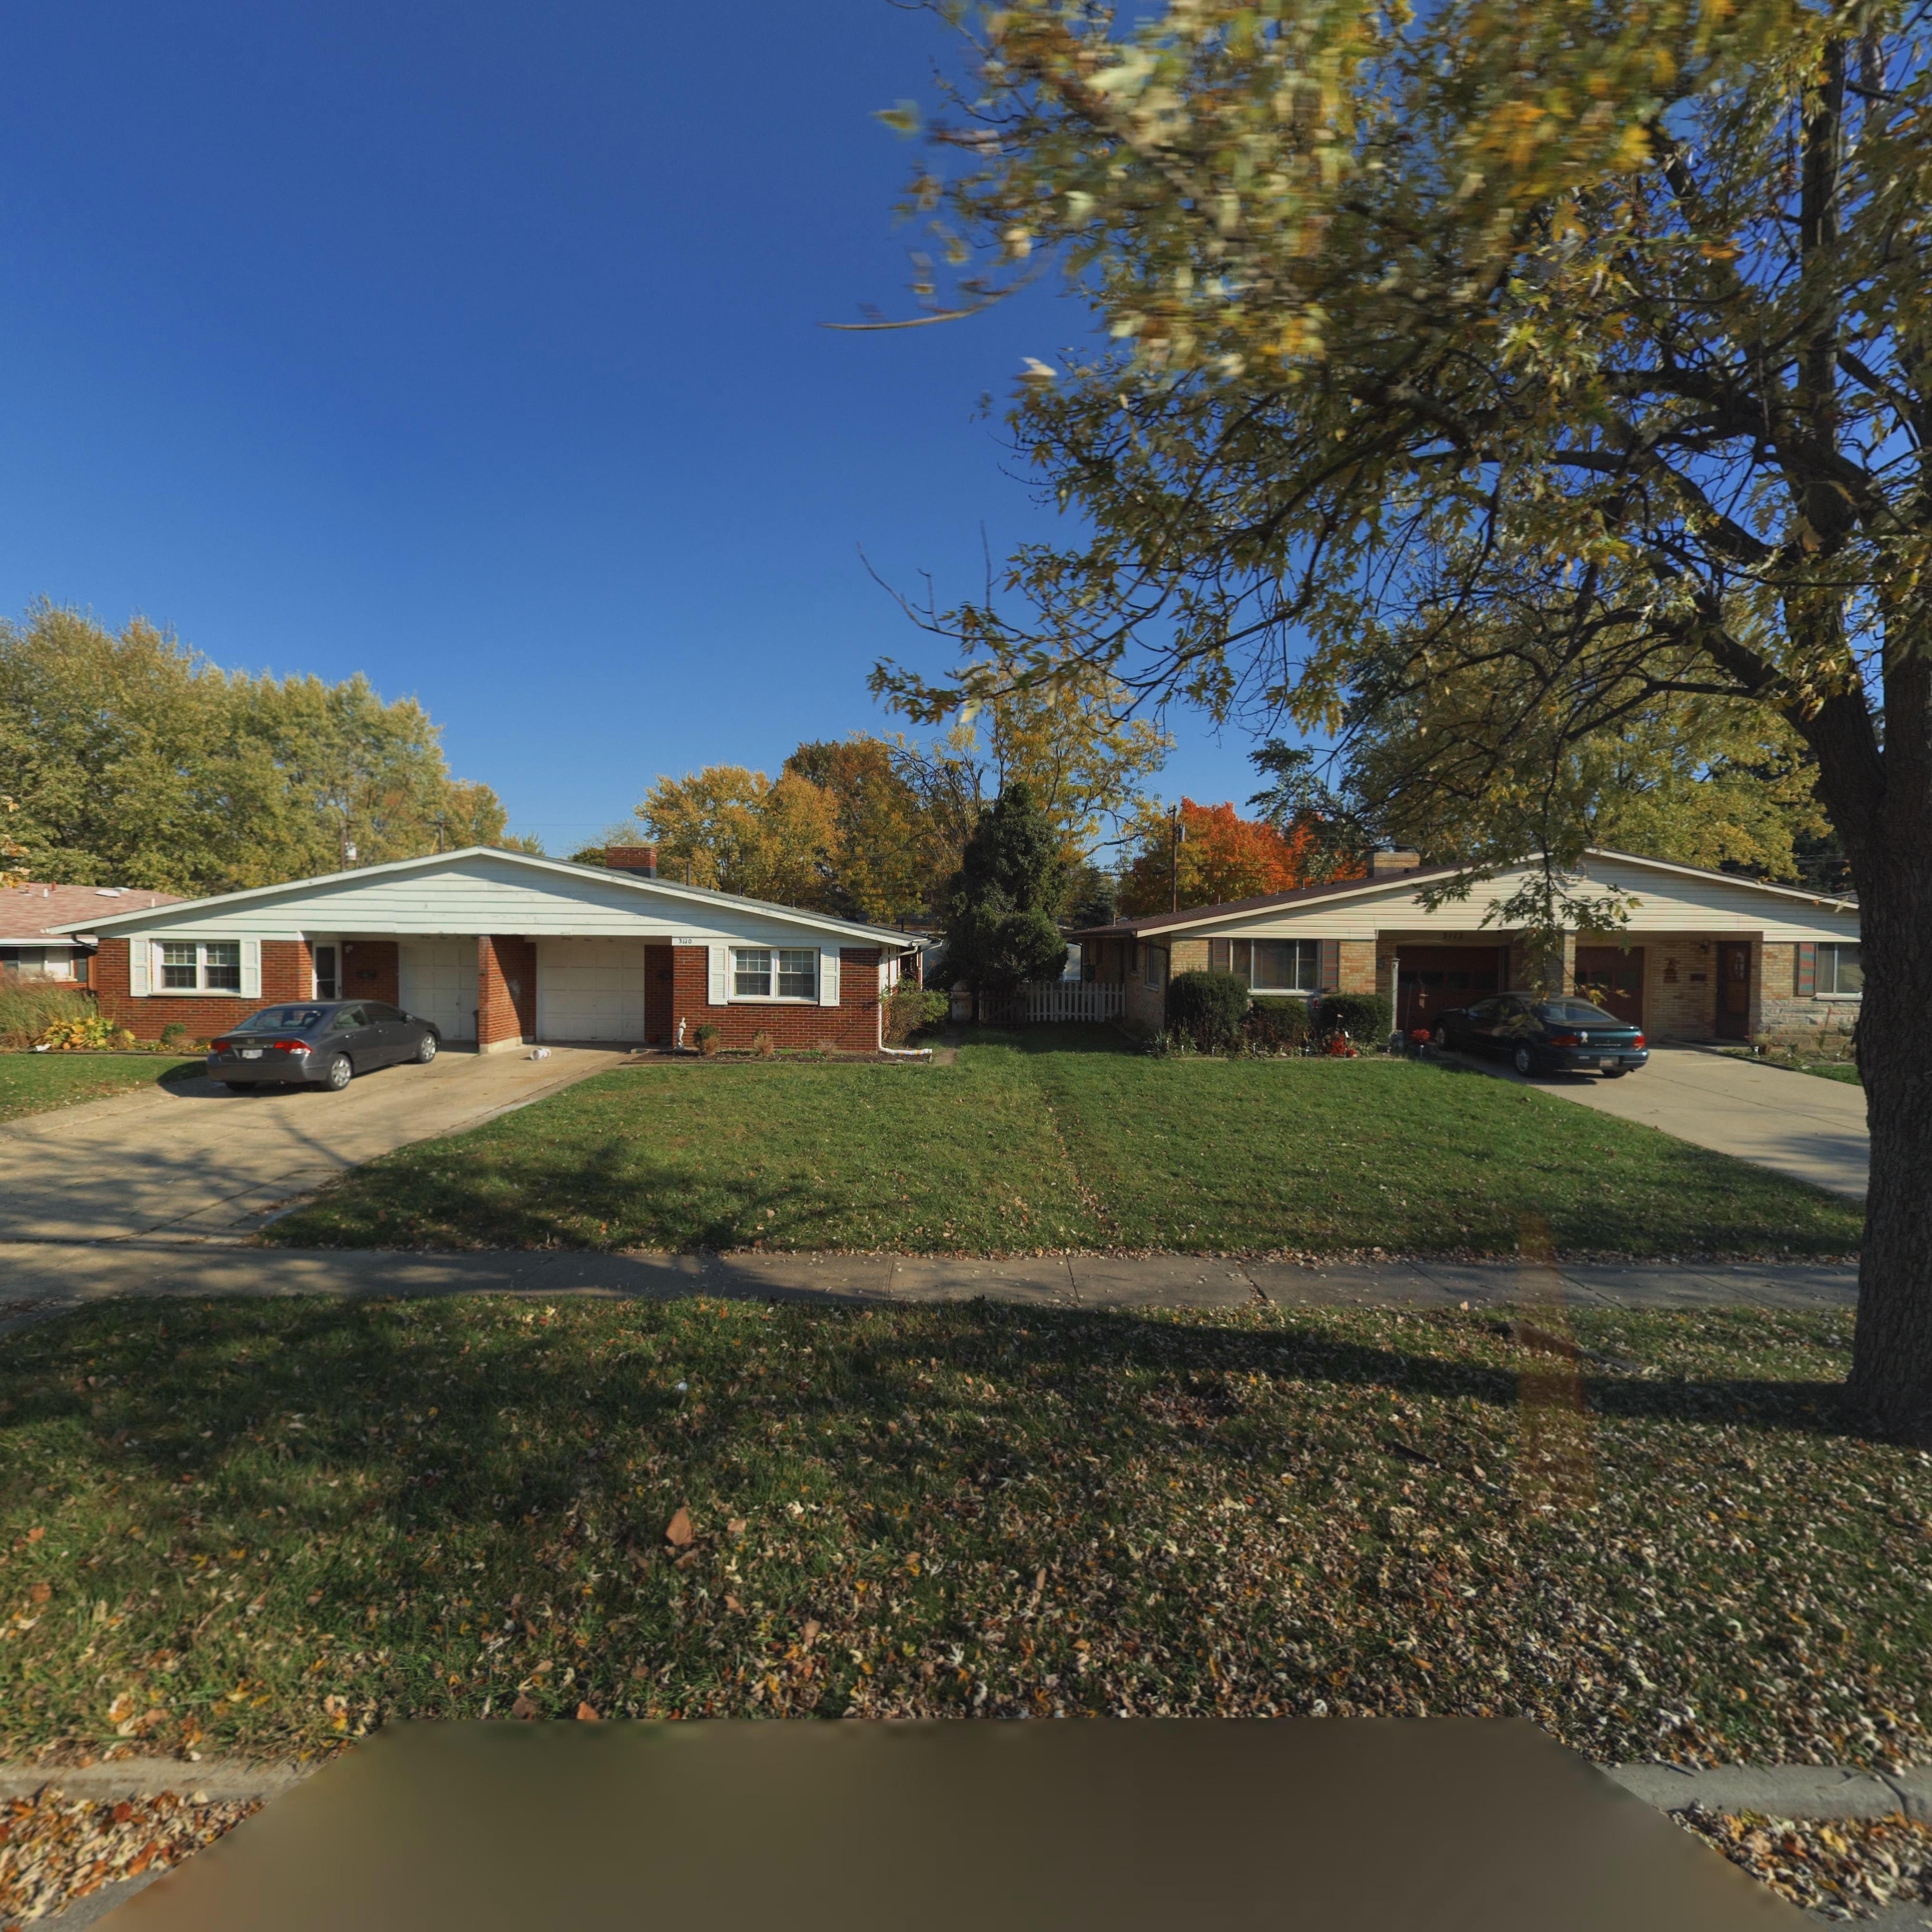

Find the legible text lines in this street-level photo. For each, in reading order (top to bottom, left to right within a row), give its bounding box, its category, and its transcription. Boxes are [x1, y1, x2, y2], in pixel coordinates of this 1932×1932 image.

[1441, 932, 1463, 939] StreetNumber: 3112
[678, 937, 692, 944] StreetNumber: 3110